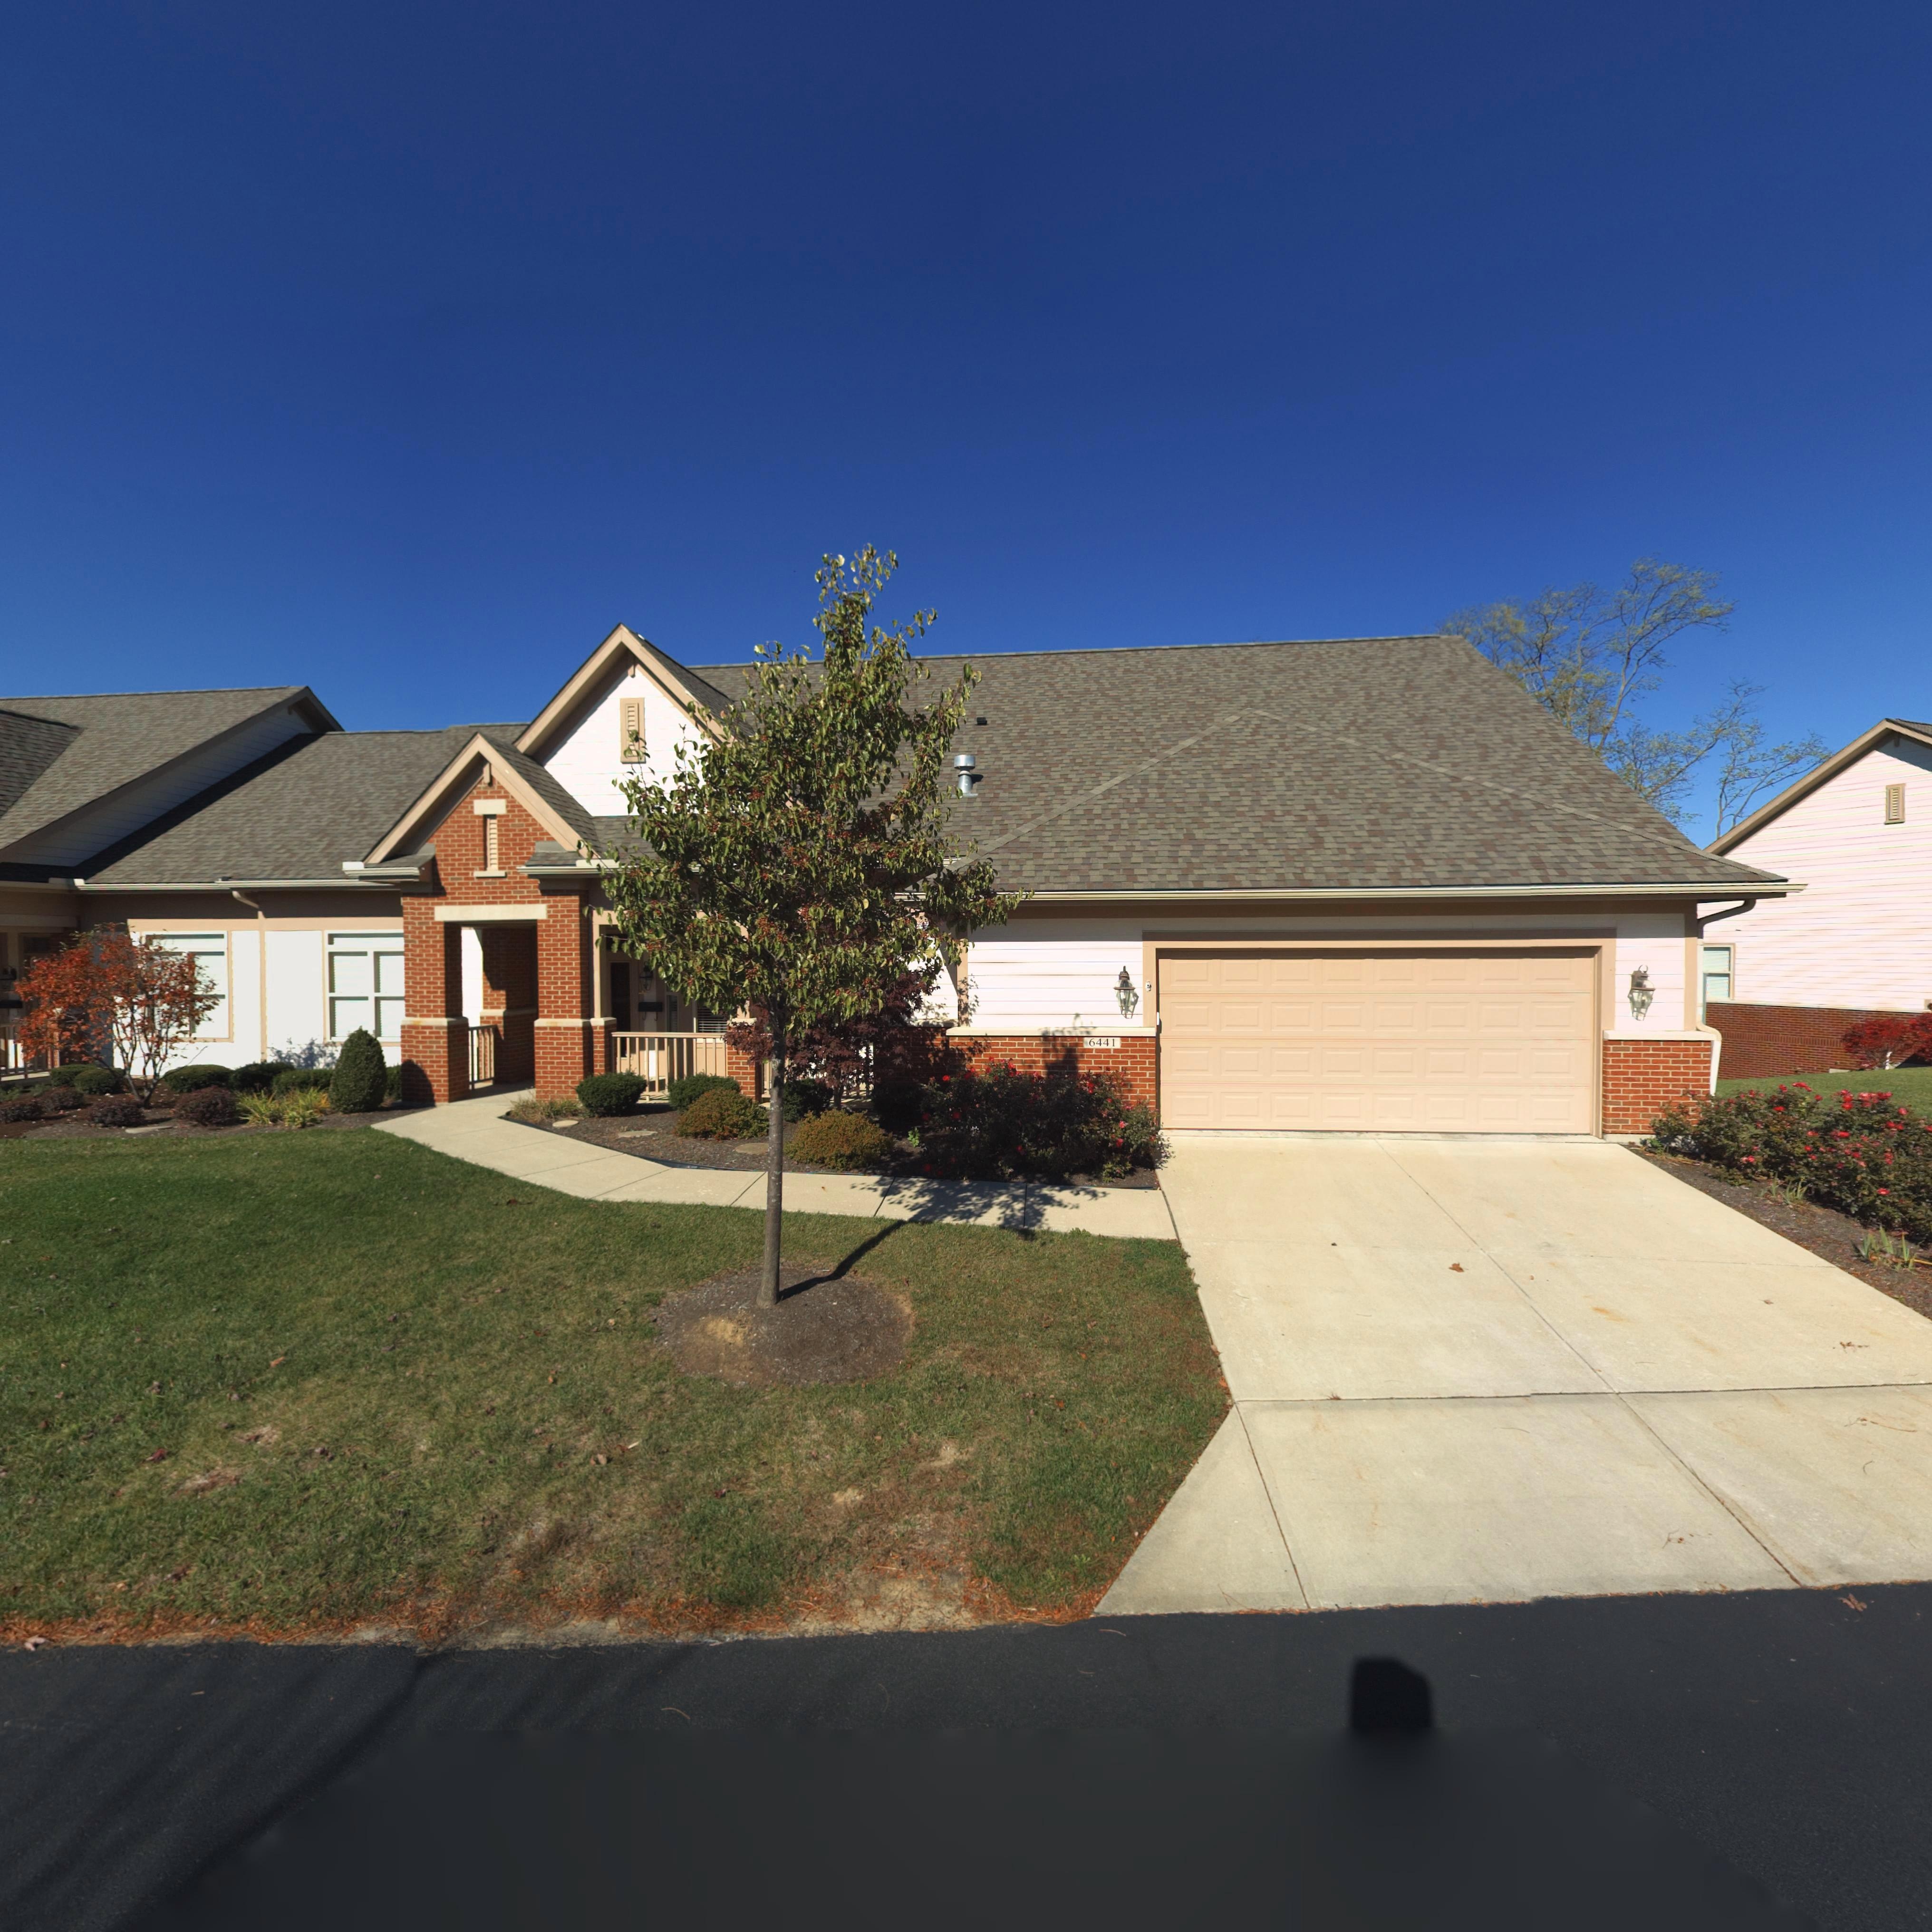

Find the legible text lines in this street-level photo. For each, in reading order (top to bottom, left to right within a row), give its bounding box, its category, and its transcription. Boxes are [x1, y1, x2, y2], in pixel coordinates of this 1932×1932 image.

[1088, 1037, 1115, 1047] StreetNumber: 6441